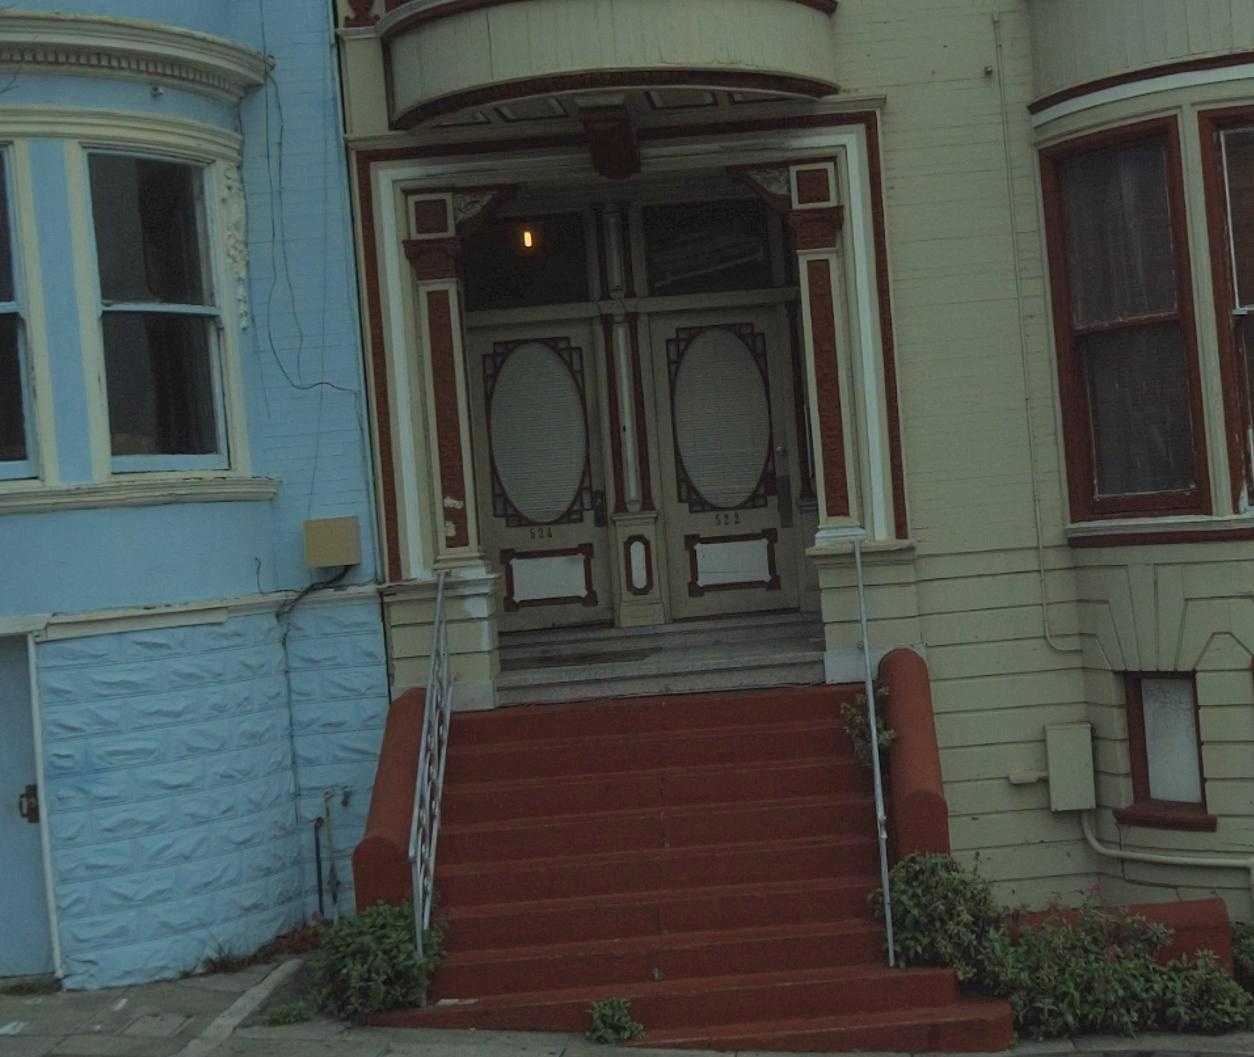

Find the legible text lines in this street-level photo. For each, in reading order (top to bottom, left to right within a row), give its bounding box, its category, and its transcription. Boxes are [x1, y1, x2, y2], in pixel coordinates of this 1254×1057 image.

[714, 510, 741, 528] StreetNumber: 522
[528, 524, 554, 541] StreetNumber: 524